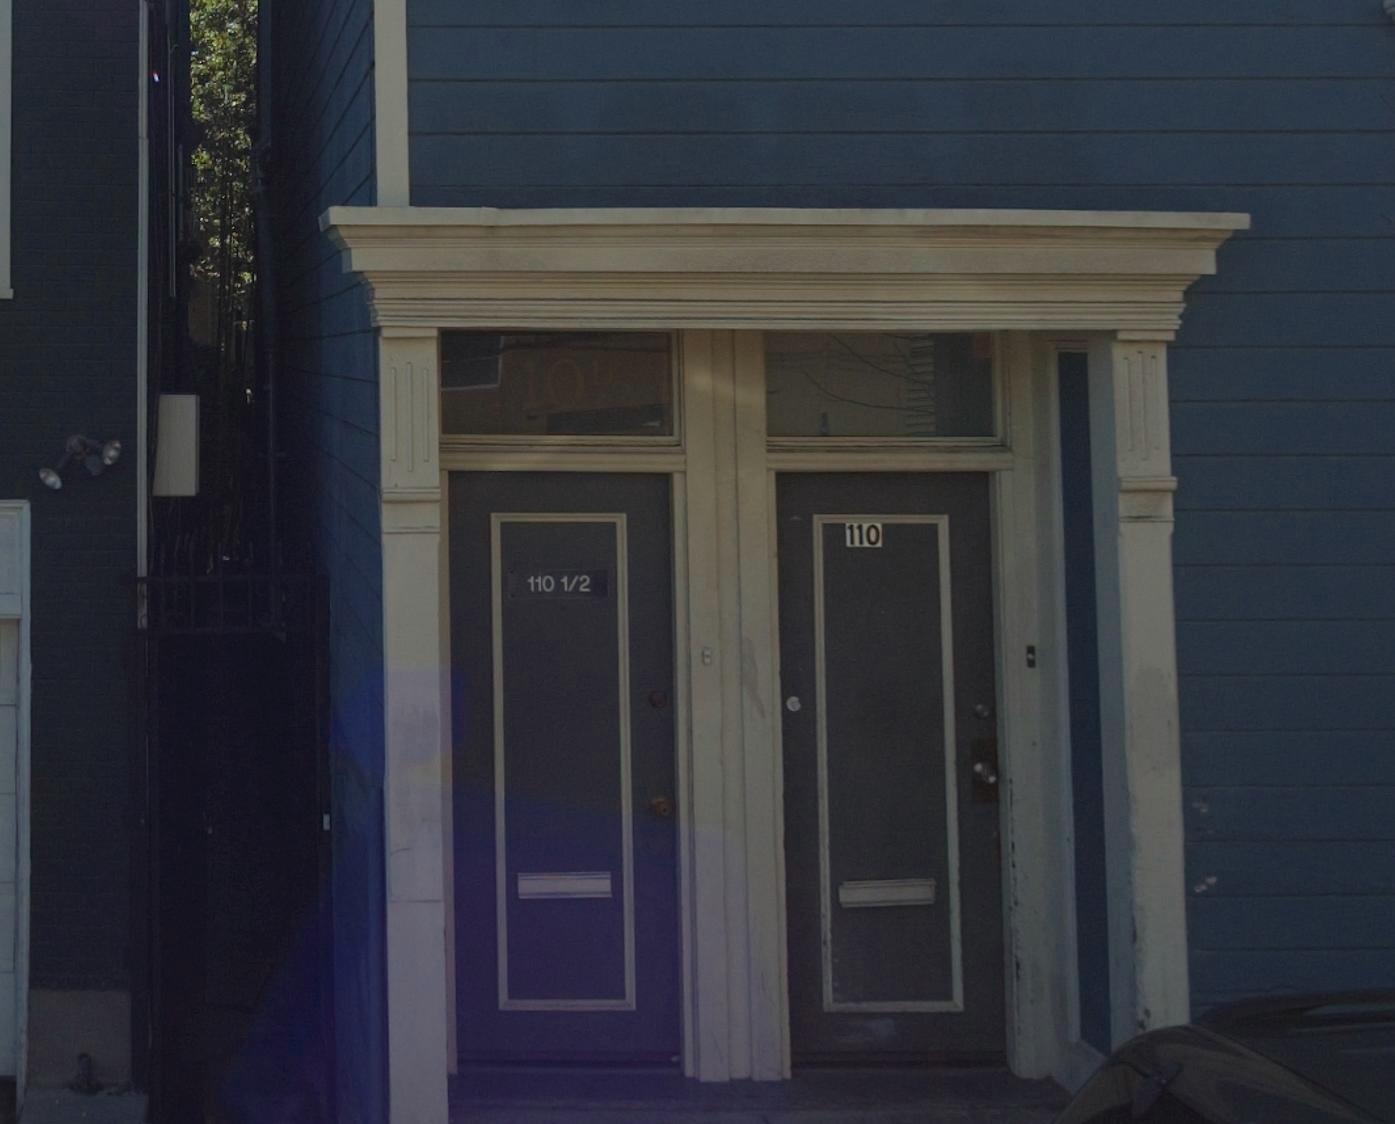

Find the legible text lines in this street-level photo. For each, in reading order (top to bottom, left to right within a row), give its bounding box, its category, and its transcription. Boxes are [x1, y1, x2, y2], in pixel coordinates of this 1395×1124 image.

[517, 356, 586, 416] None: 10
[589, 350, 603, 391] None: 1
[843, 520, 883, 549] StreetNumber: 110
[524, 571, 594, 598] StreetNumber: 110 1/2